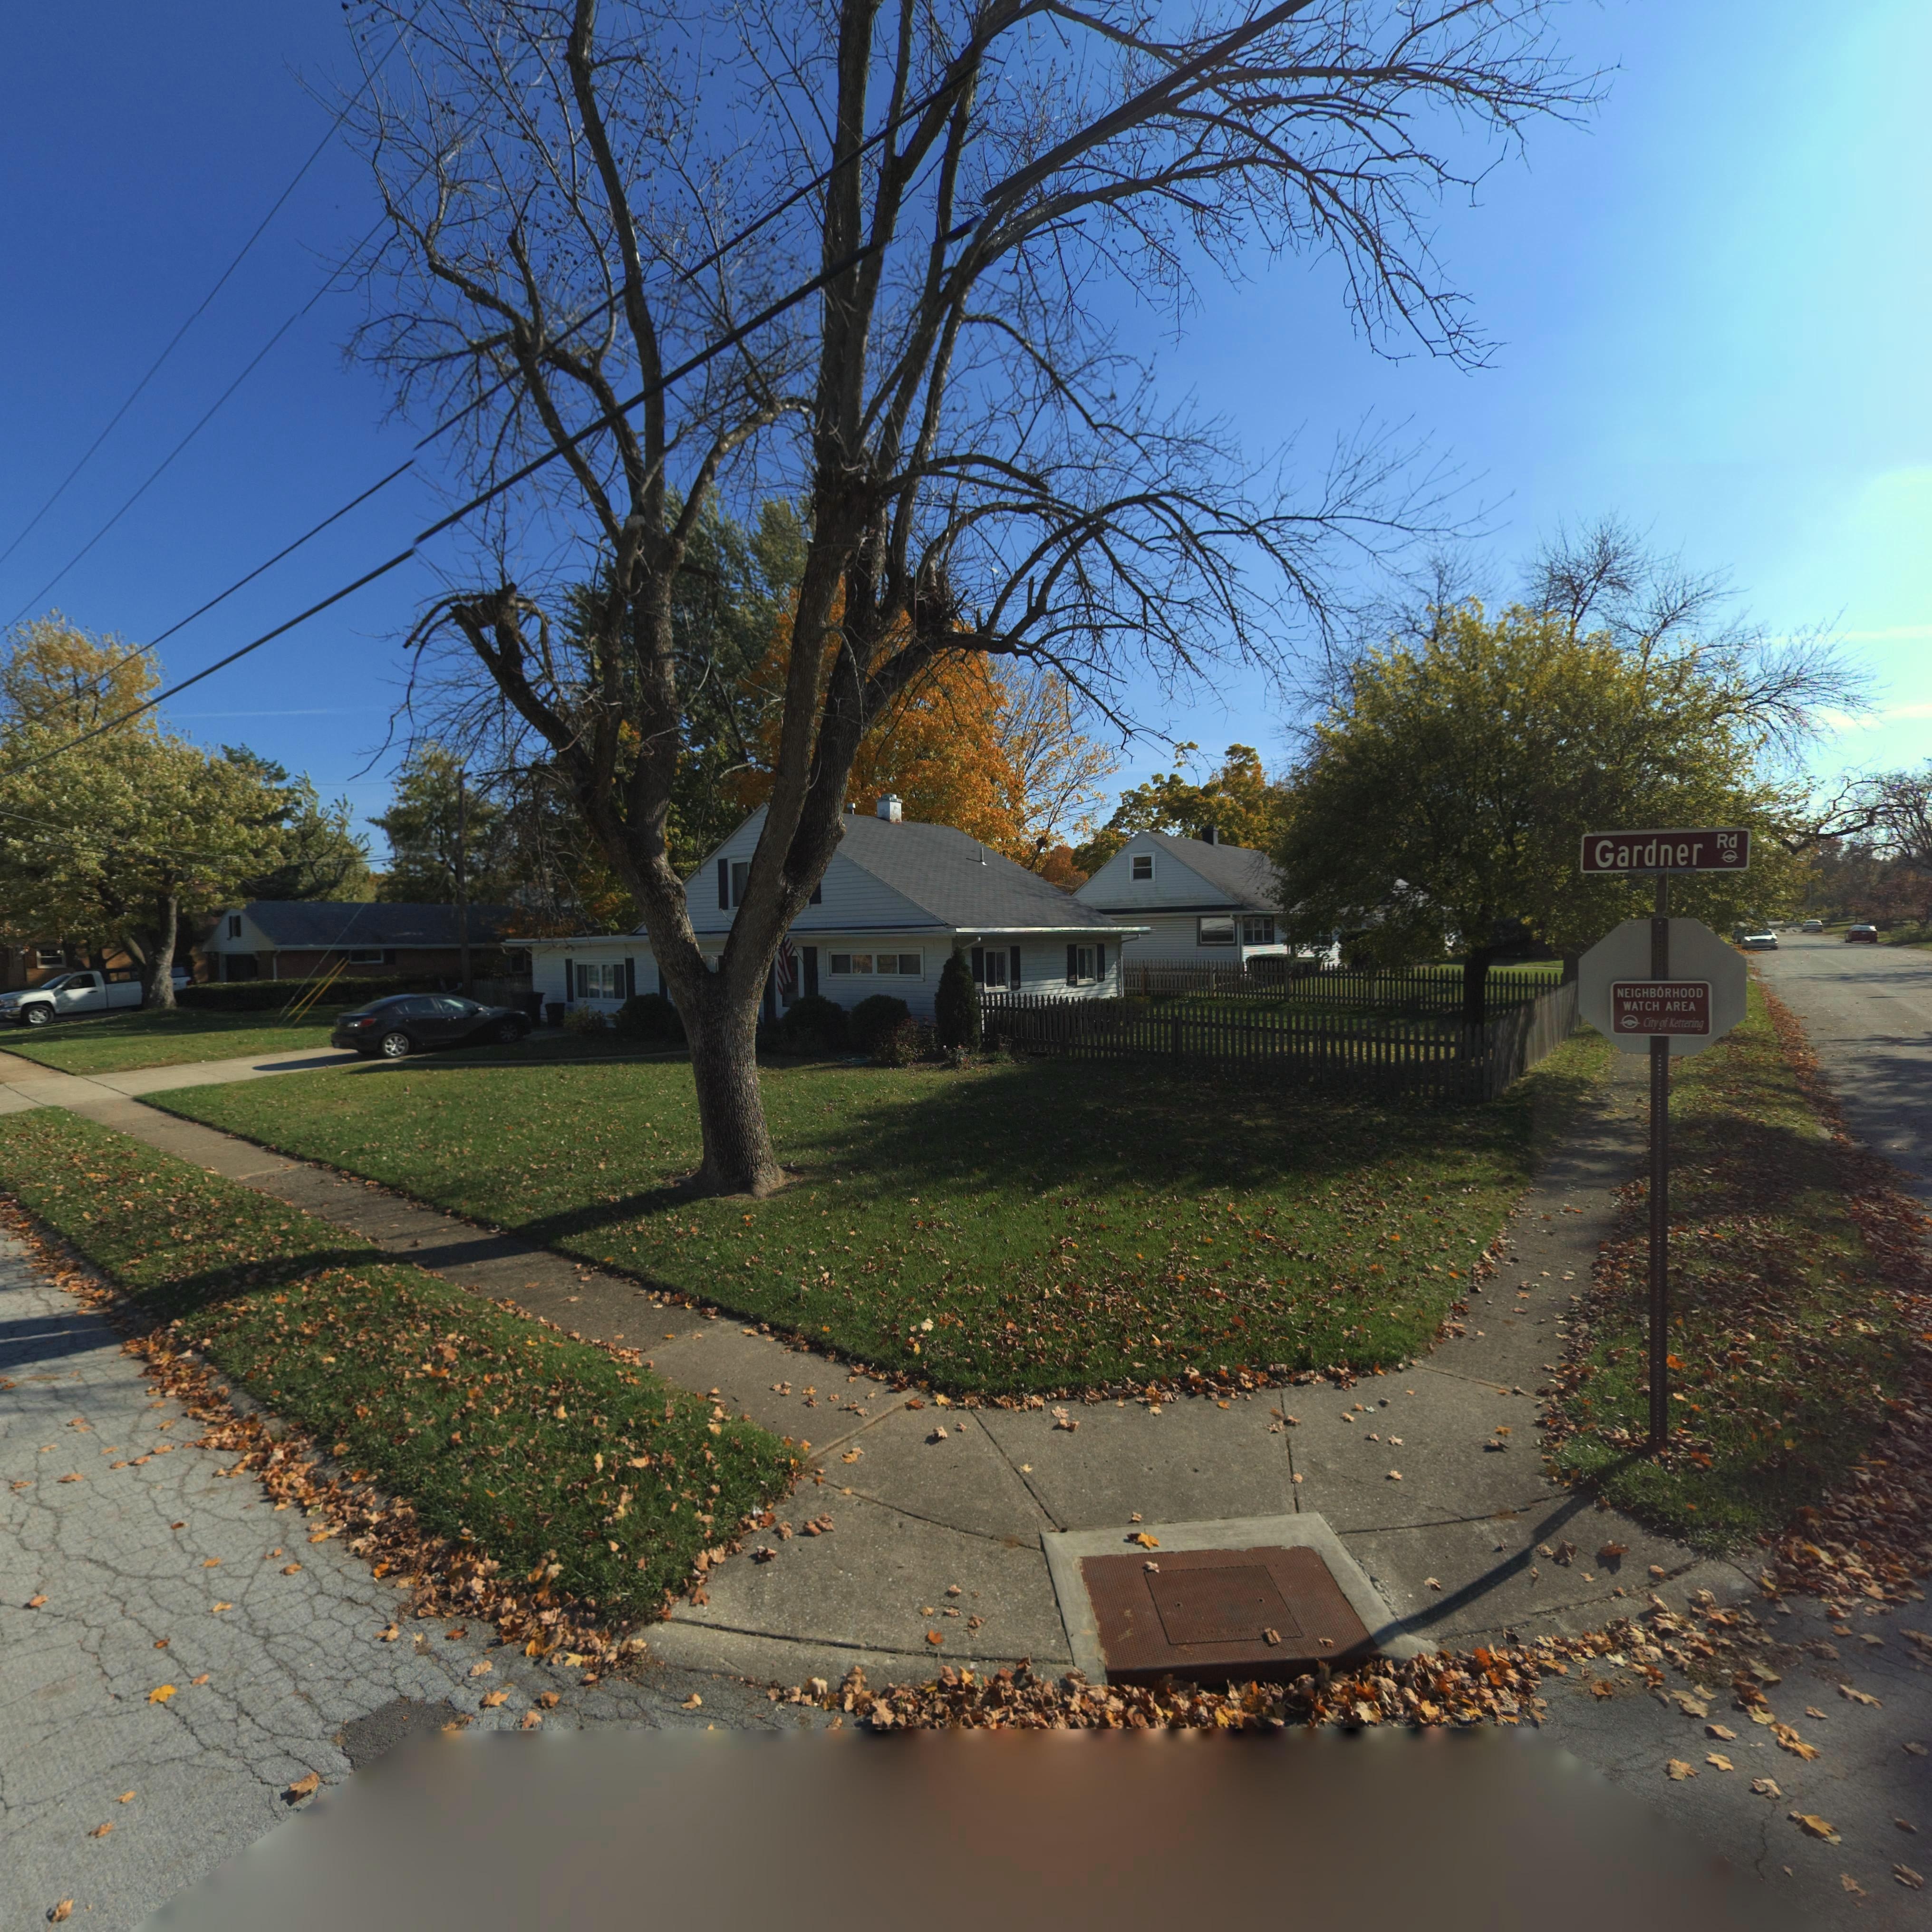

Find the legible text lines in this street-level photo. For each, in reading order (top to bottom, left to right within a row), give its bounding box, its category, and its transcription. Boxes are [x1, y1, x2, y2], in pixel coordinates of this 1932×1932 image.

[1594, 832, 1738, 868] StreetName: Gardner Rd
[1617, 987, 1703, 999] None: NEIGHBORHOOD
[1622, 1001, 1697, 1012] None: WATCH AREA
[1642, 1016, 1706, 1032] None: City of Kettering